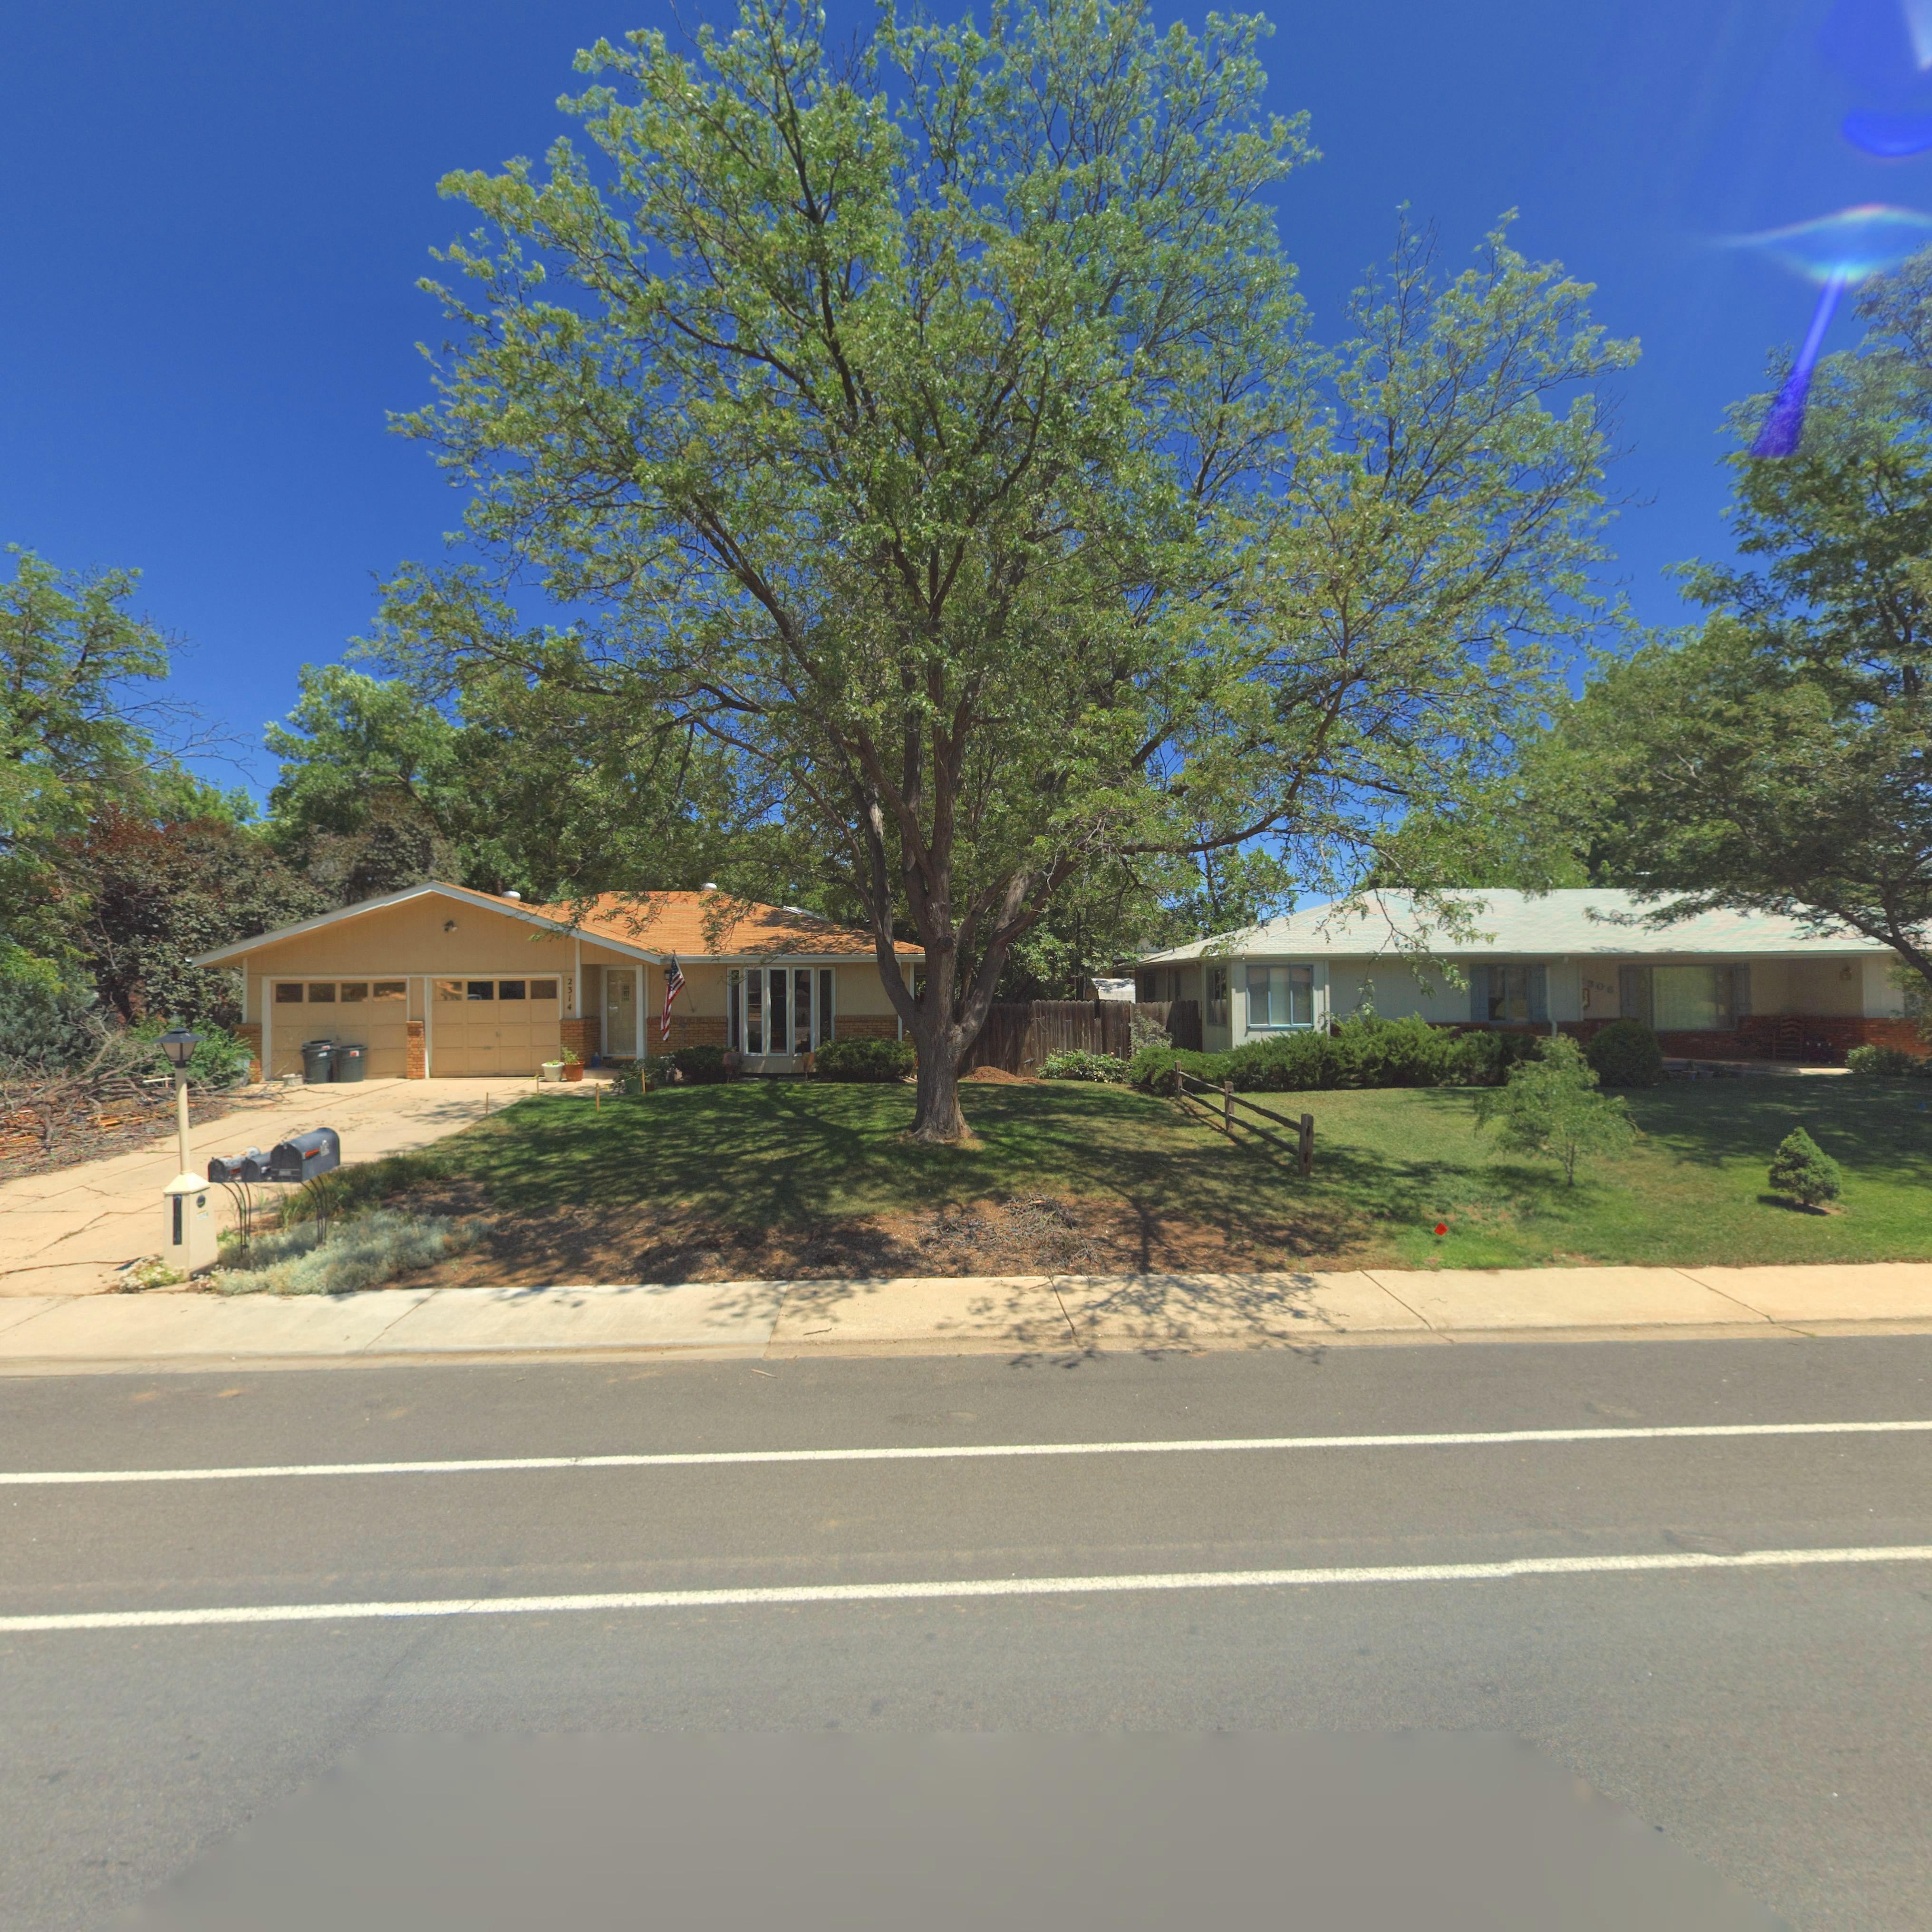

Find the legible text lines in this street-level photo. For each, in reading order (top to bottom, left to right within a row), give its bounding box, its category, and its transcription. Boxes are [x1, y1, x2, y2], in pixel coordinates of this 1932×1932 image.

[567, 977, 573, 1011] StreetNumber: 2314
[1586, 979, 1613, 994] StreetNumber: *306